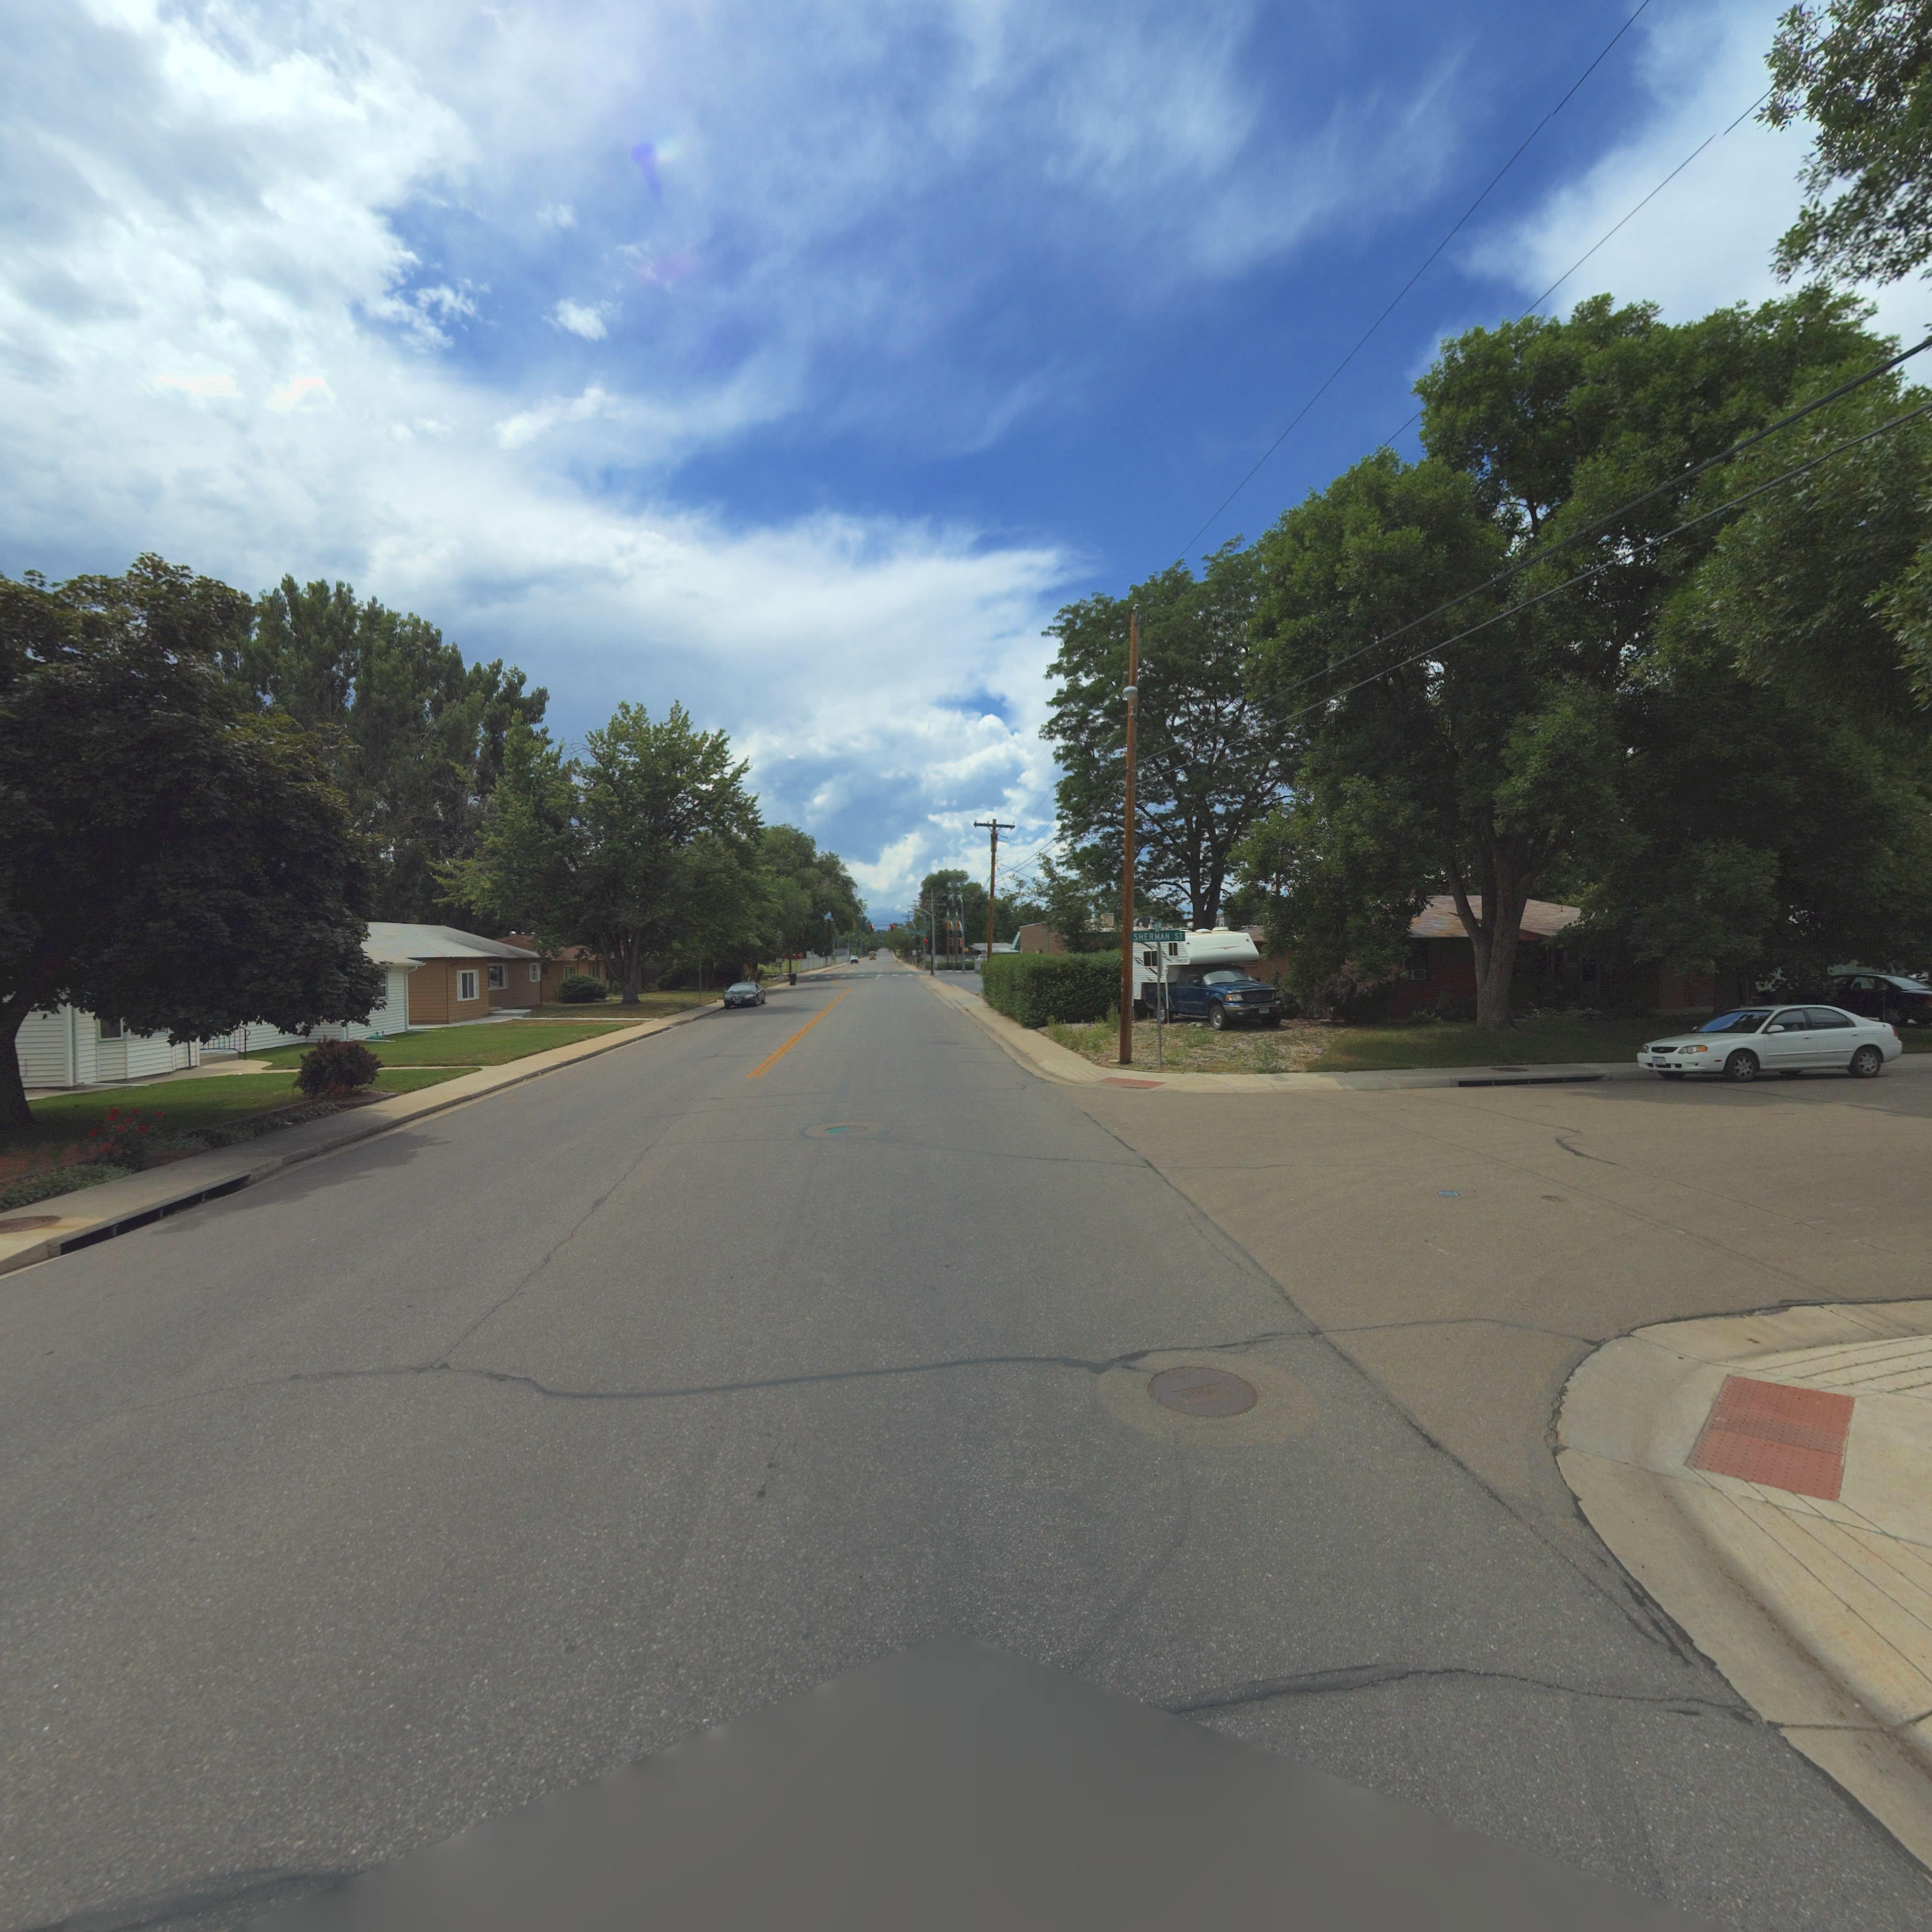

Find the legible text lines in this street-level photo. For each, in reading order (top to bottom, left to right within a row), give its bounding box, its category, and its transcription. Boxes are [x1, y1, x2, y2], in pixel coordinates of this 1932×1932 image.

[1155, 921, 1161, 931] StreetName: **** A*e
[1133, 932, 1183, 941] StreetName: SHERMAN ST